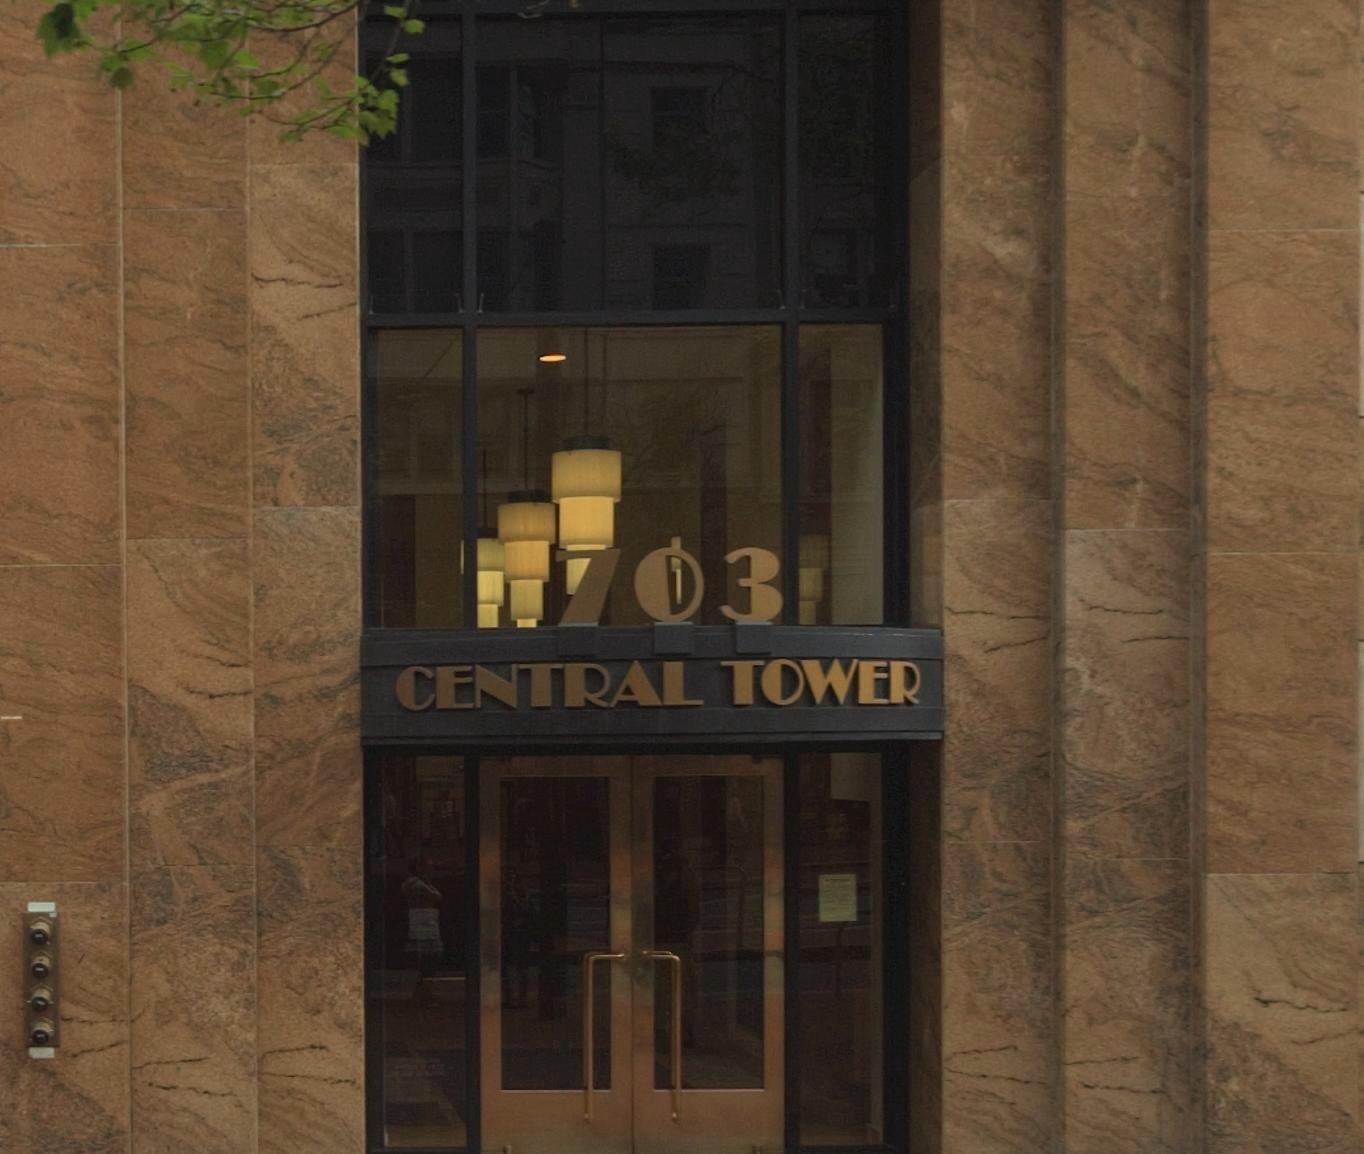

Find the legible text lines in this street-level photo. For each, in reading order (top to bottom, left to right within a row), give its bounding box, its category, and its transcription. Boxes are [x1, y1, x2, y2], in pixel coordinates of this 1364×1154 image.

[553, 545, 786, 626] StreetNumber: 703
[393, 657, 924, 712] None: CENTRAL TOWER